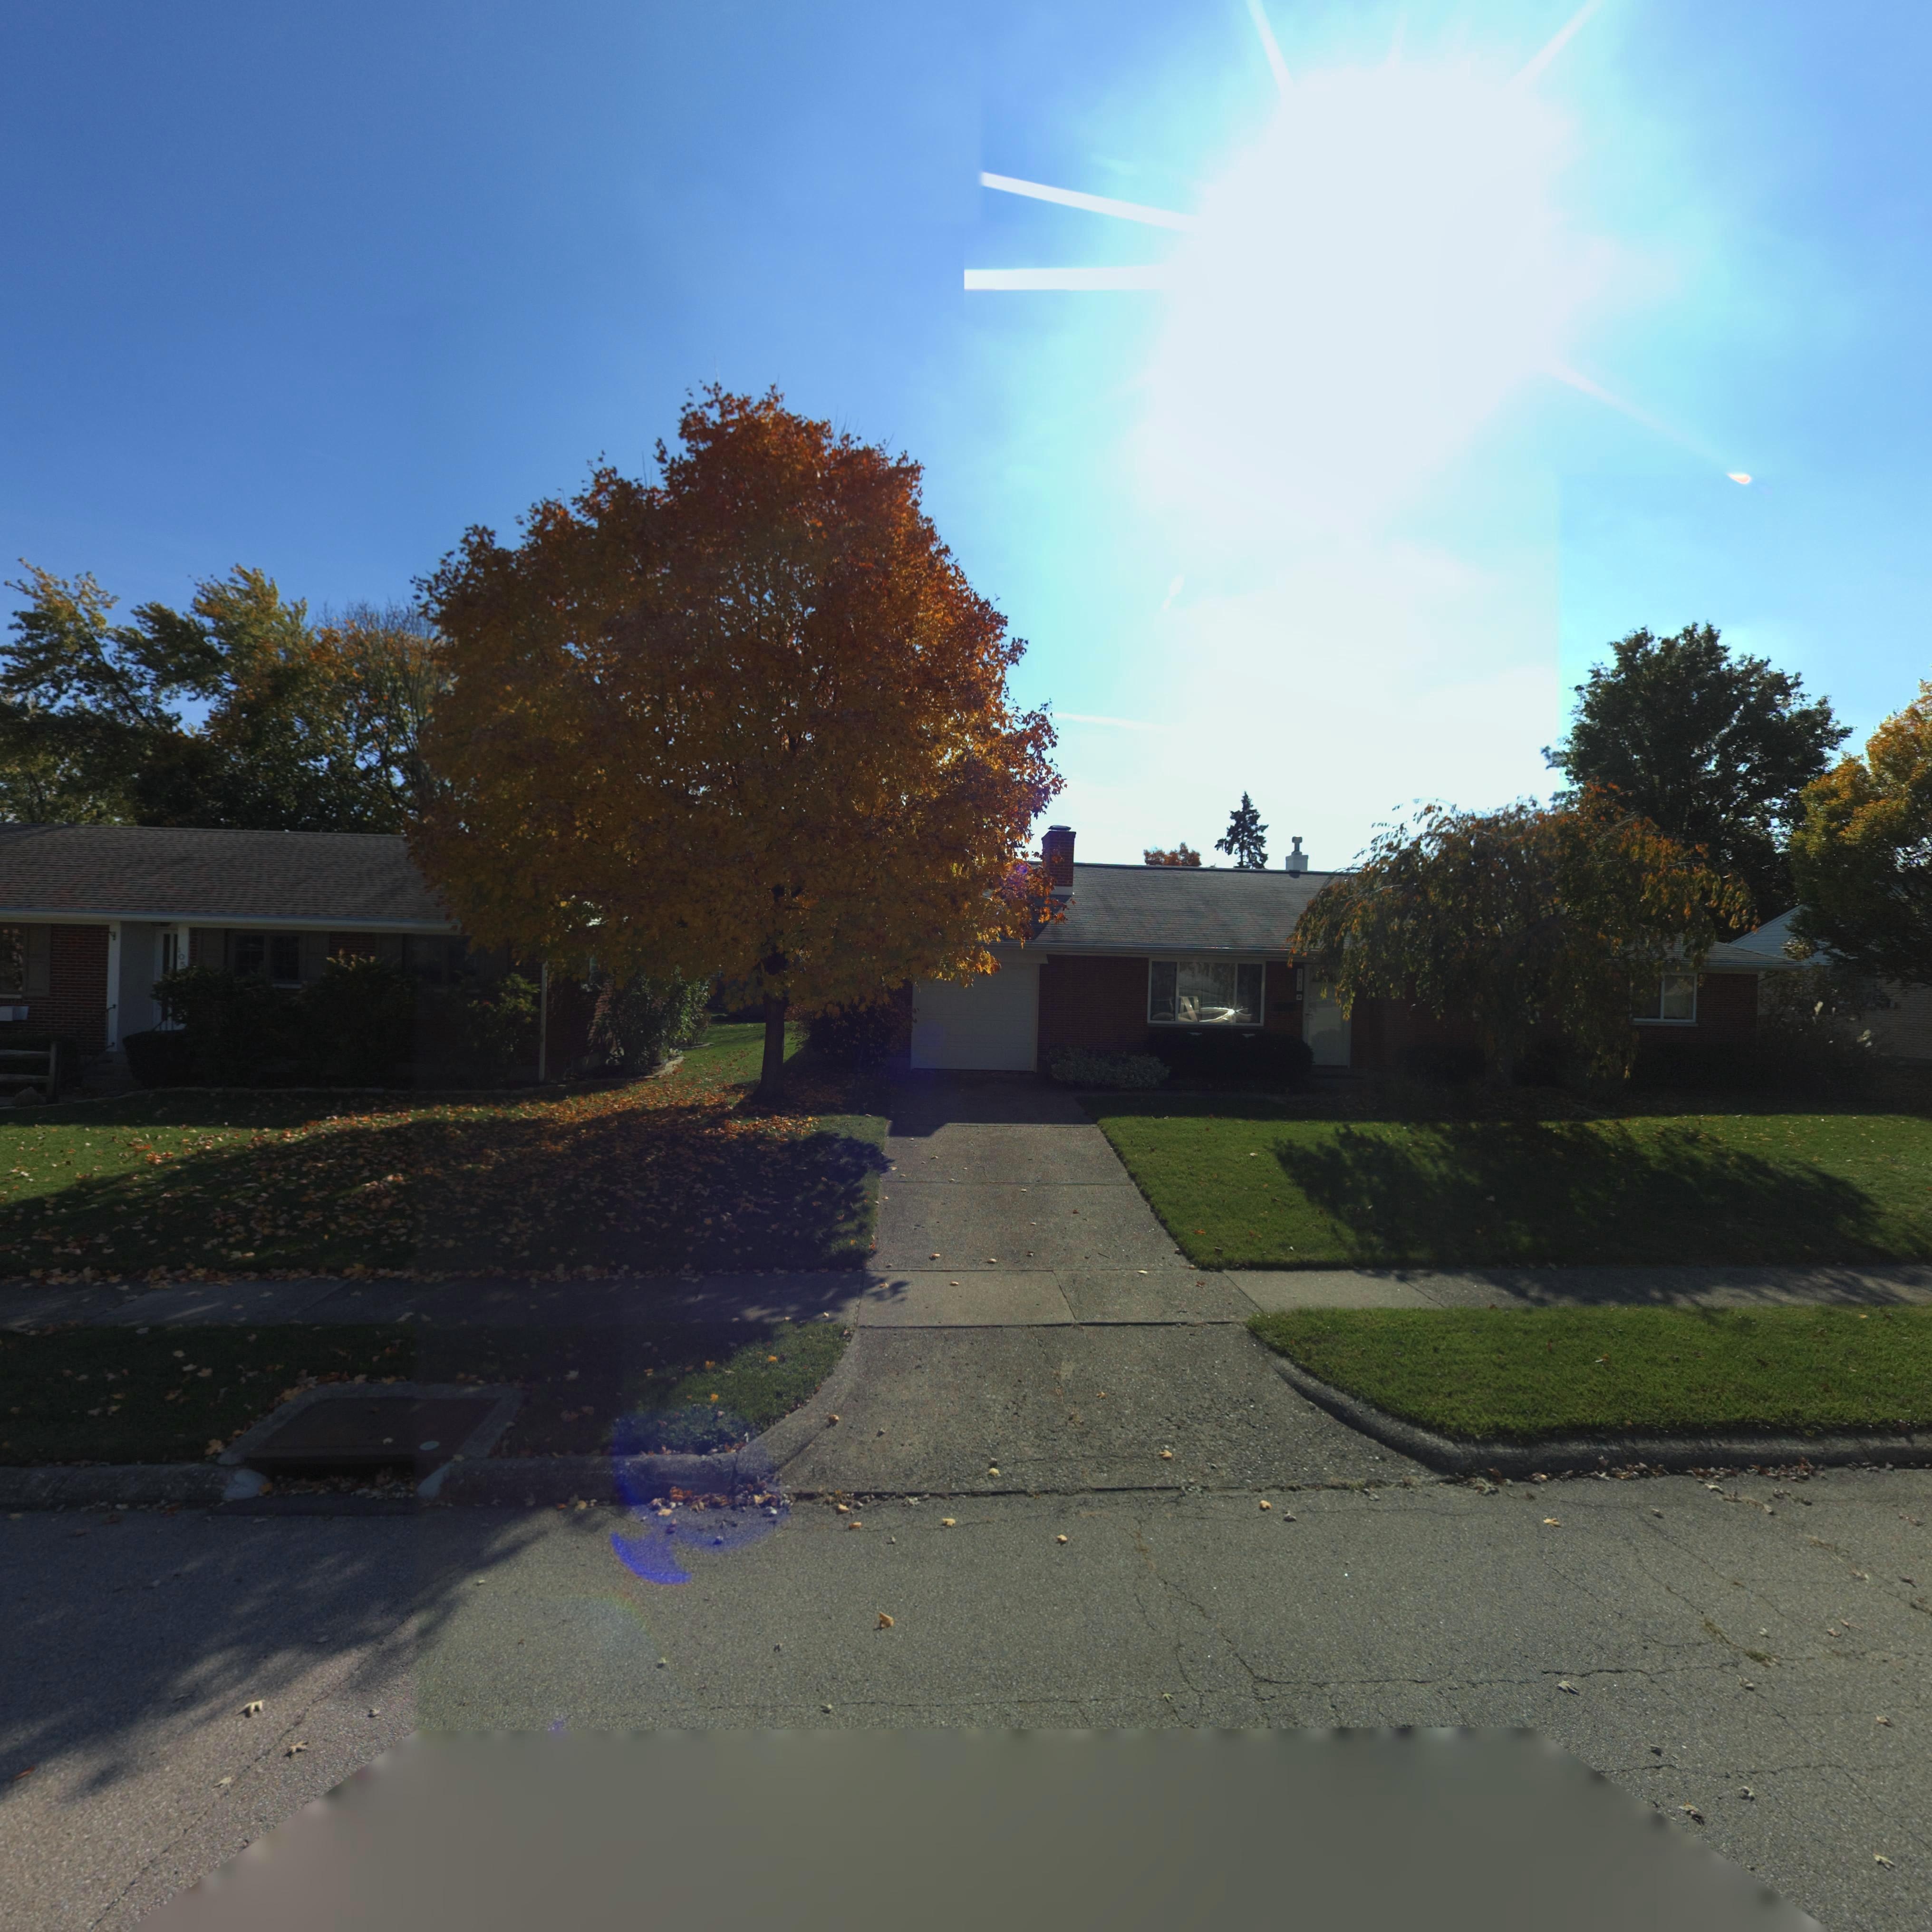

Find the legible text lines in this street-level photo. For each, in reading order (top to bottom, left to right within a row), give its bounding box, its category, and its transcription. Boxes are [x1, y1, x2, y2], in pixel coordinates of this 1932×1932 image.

[177, 946, 186, 968] StreetNumber: 105